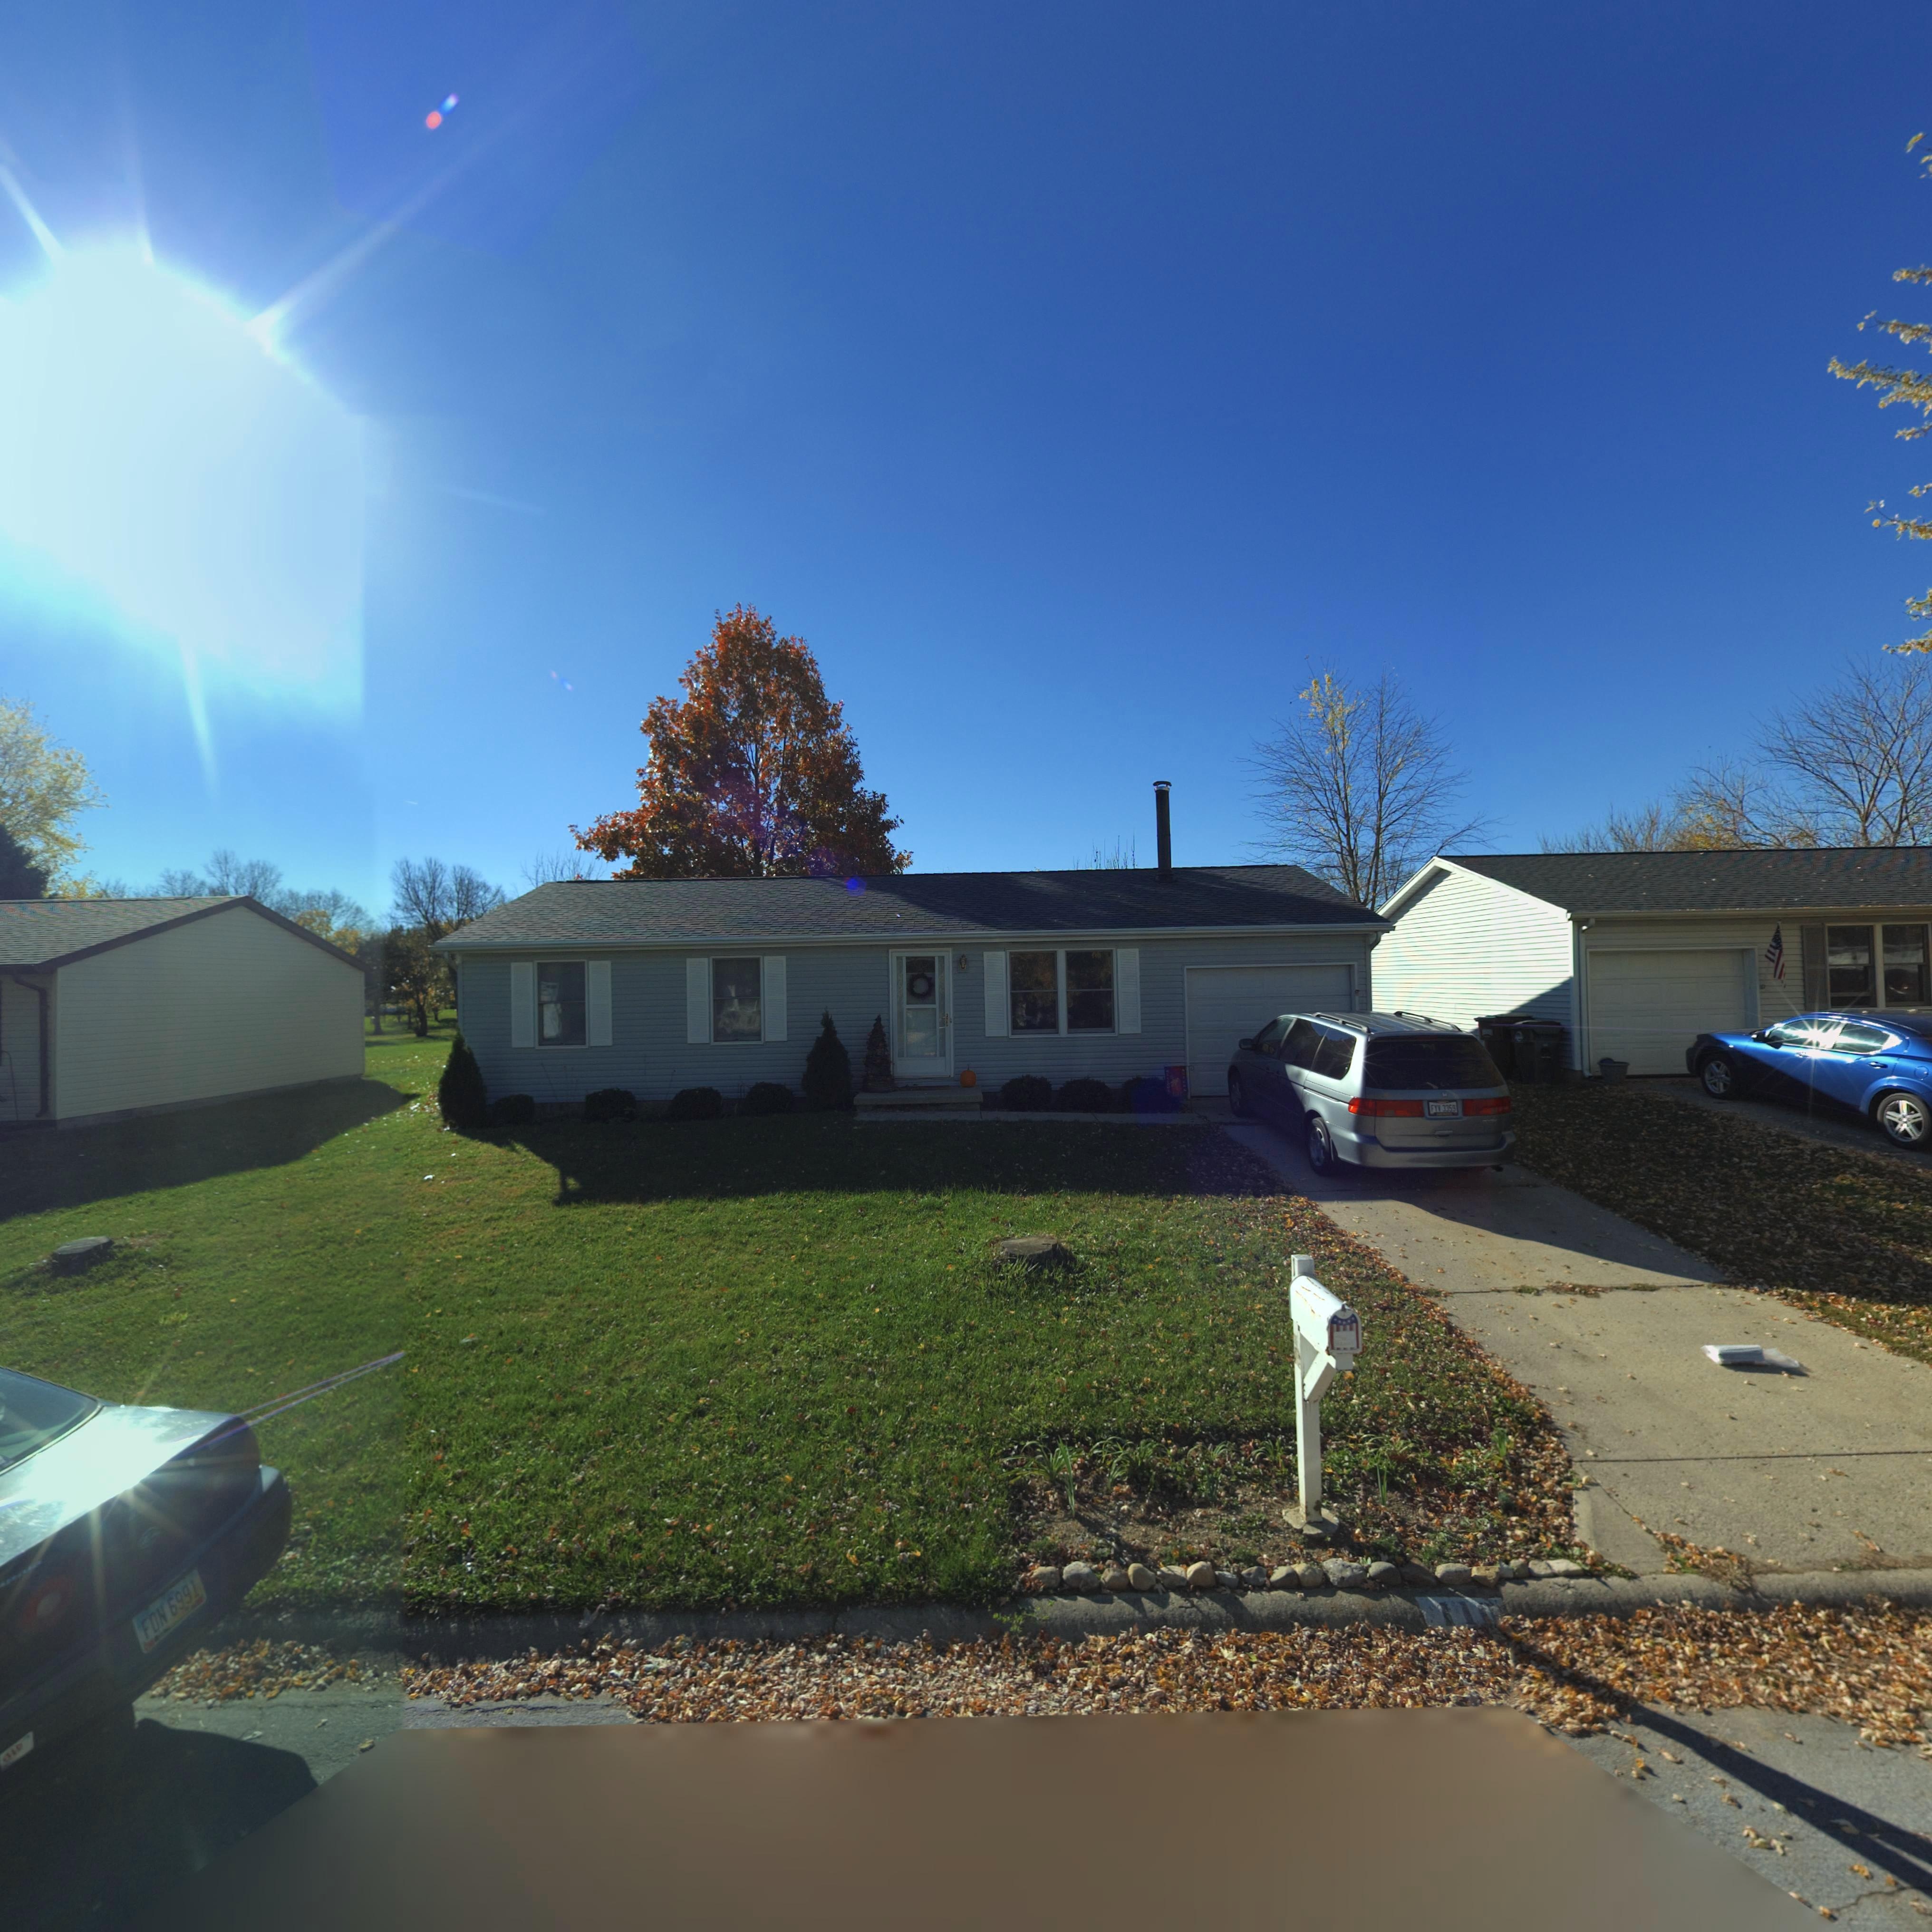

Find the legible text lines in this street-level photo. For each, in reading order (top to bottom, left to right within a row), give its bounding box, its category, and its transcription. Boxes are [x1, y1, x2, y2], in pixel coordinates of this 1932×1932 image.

[1436, 1600, 1501, 1627] StreetNumber: 110